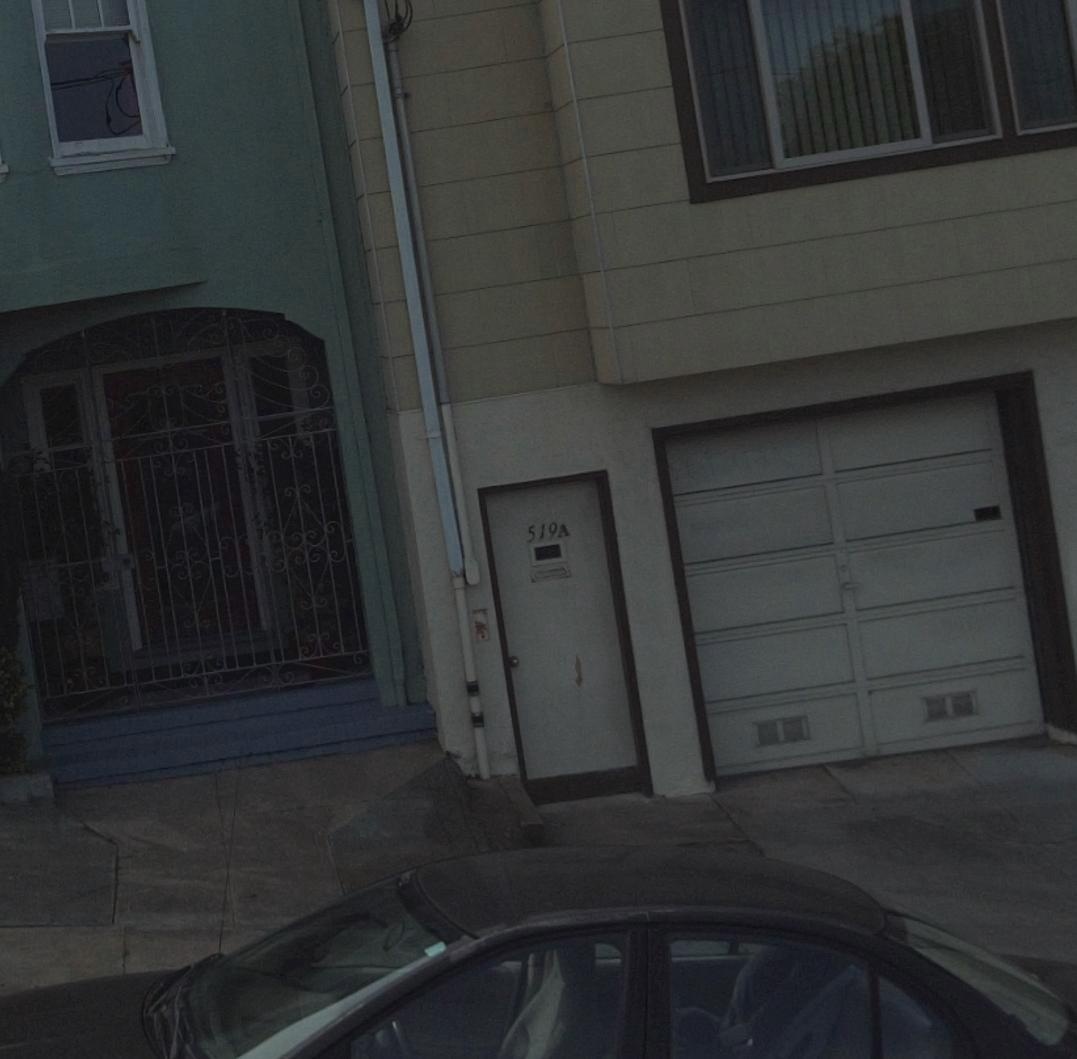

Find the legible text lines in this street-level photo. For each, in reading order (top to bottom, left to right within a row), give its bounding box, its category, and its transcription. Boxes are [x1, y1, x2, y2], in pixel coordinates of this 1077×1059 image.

[525, 520, 573, 545] StreetNumber: 519A